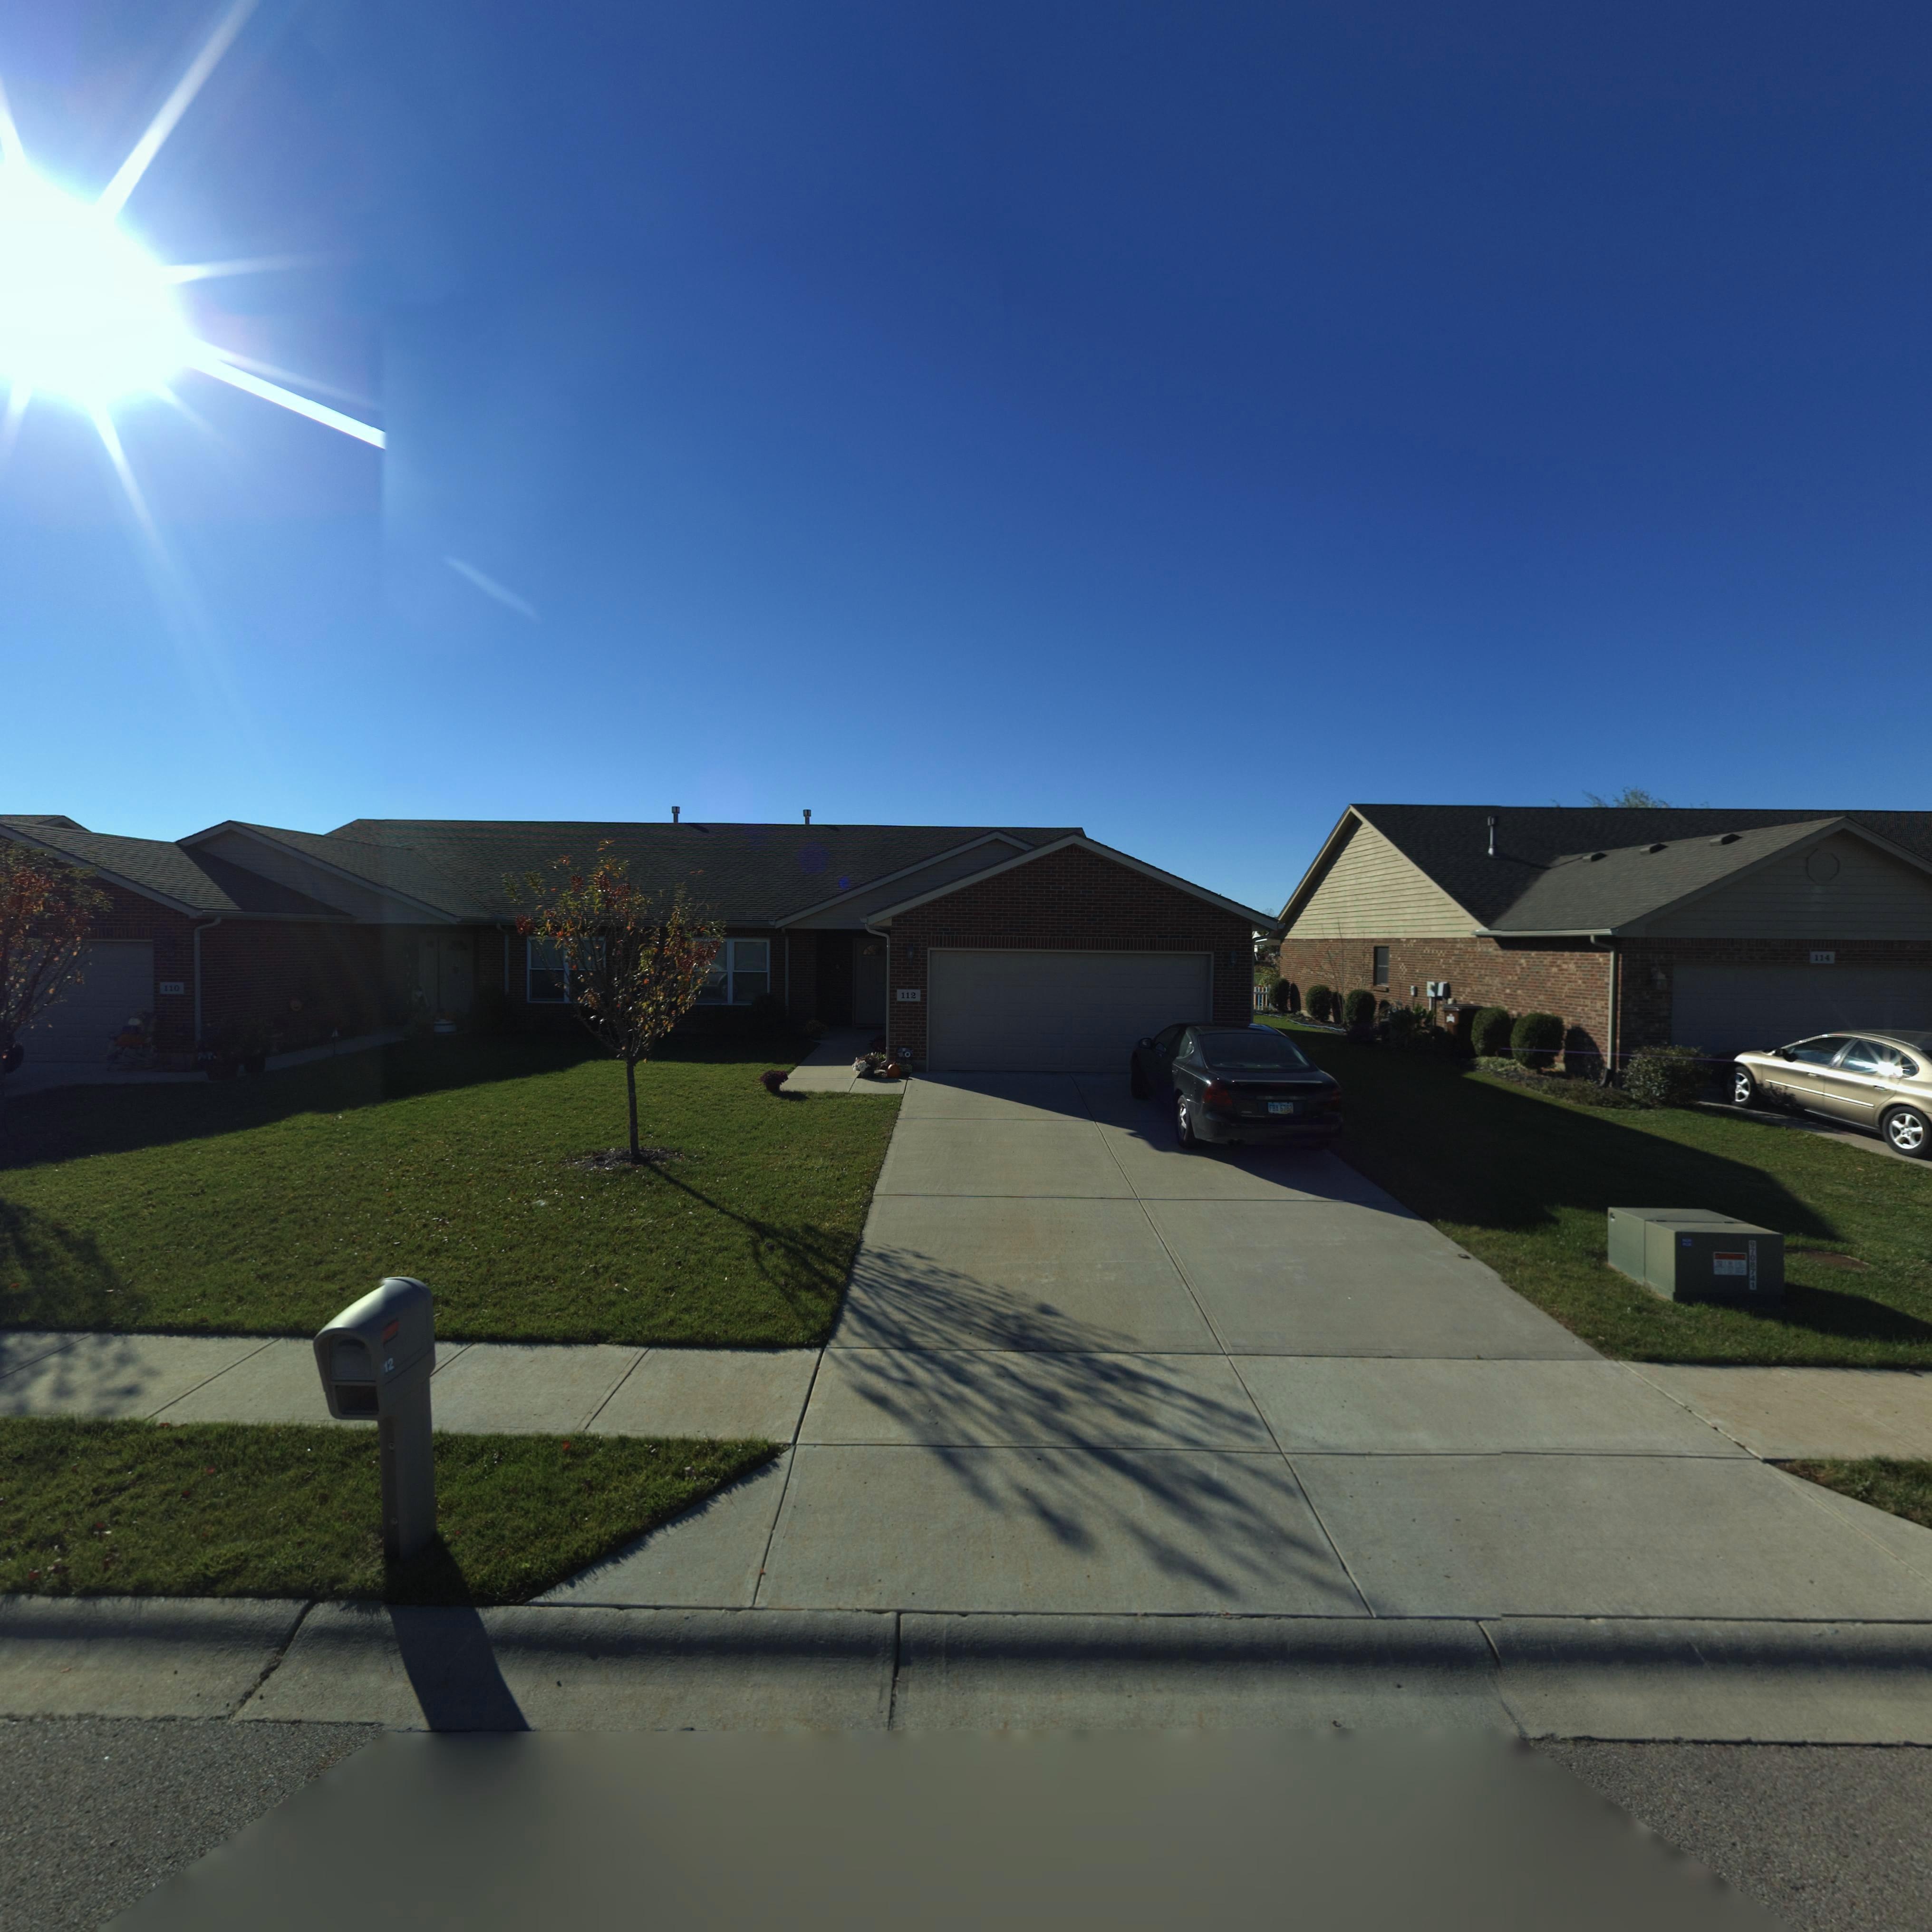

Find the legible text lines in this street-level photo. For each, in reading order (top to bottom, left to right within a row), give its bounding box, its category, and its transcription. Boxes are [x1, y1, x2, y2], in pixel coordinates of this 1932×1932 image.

[1814, 954, 1830, 962] StreetNumber: 114
[163, 984, 181, 992] StreetNumber: 110
[900, 991, 917, 999] StreetNumber: 112
[383, 1356, 396, 1375] StreetNumber: 12